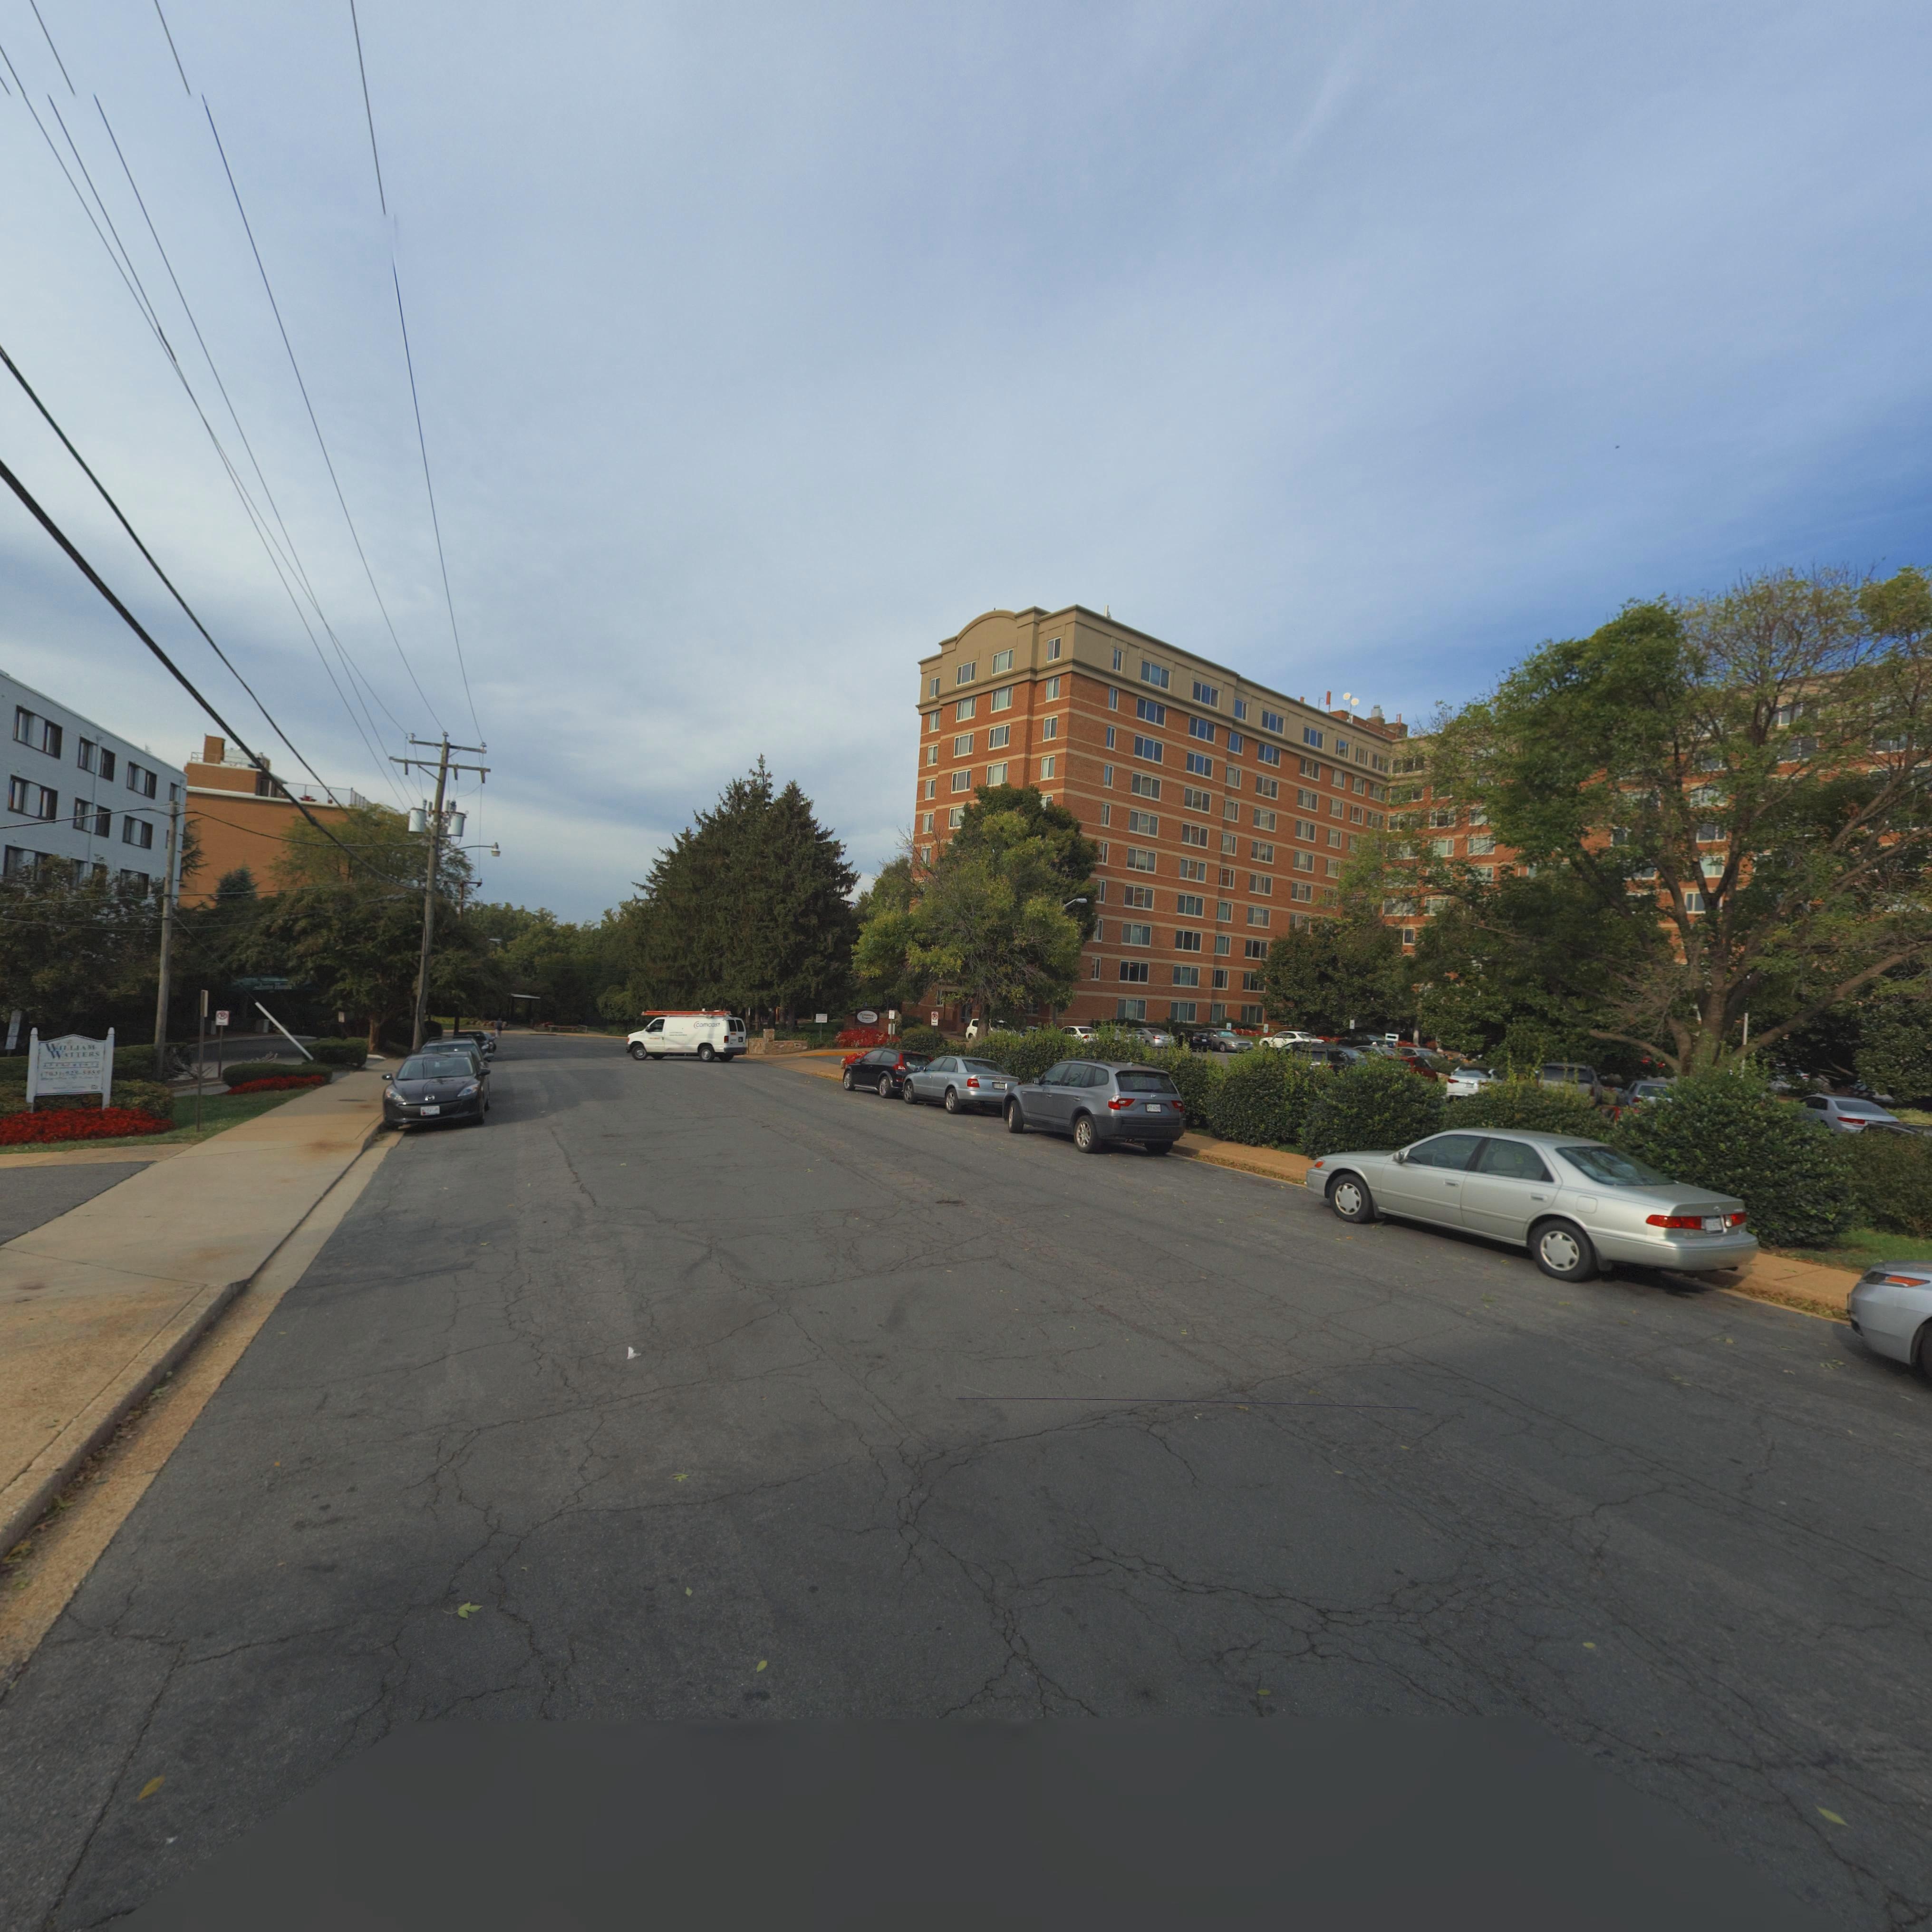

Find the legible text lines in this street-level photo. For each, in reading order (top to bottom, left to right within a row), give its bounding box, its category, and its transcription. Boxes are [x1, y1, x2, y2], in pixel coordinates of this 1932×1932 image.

[696, 1022, 721, 1027] None: comcast
[44, 1042, 98, 1053] BusinessName: W*ELE***
[48, 1050, 100, 1059] BusinessName: W*TTERS
[42, 1070, 101, 1077] None: (7**) 425-5855